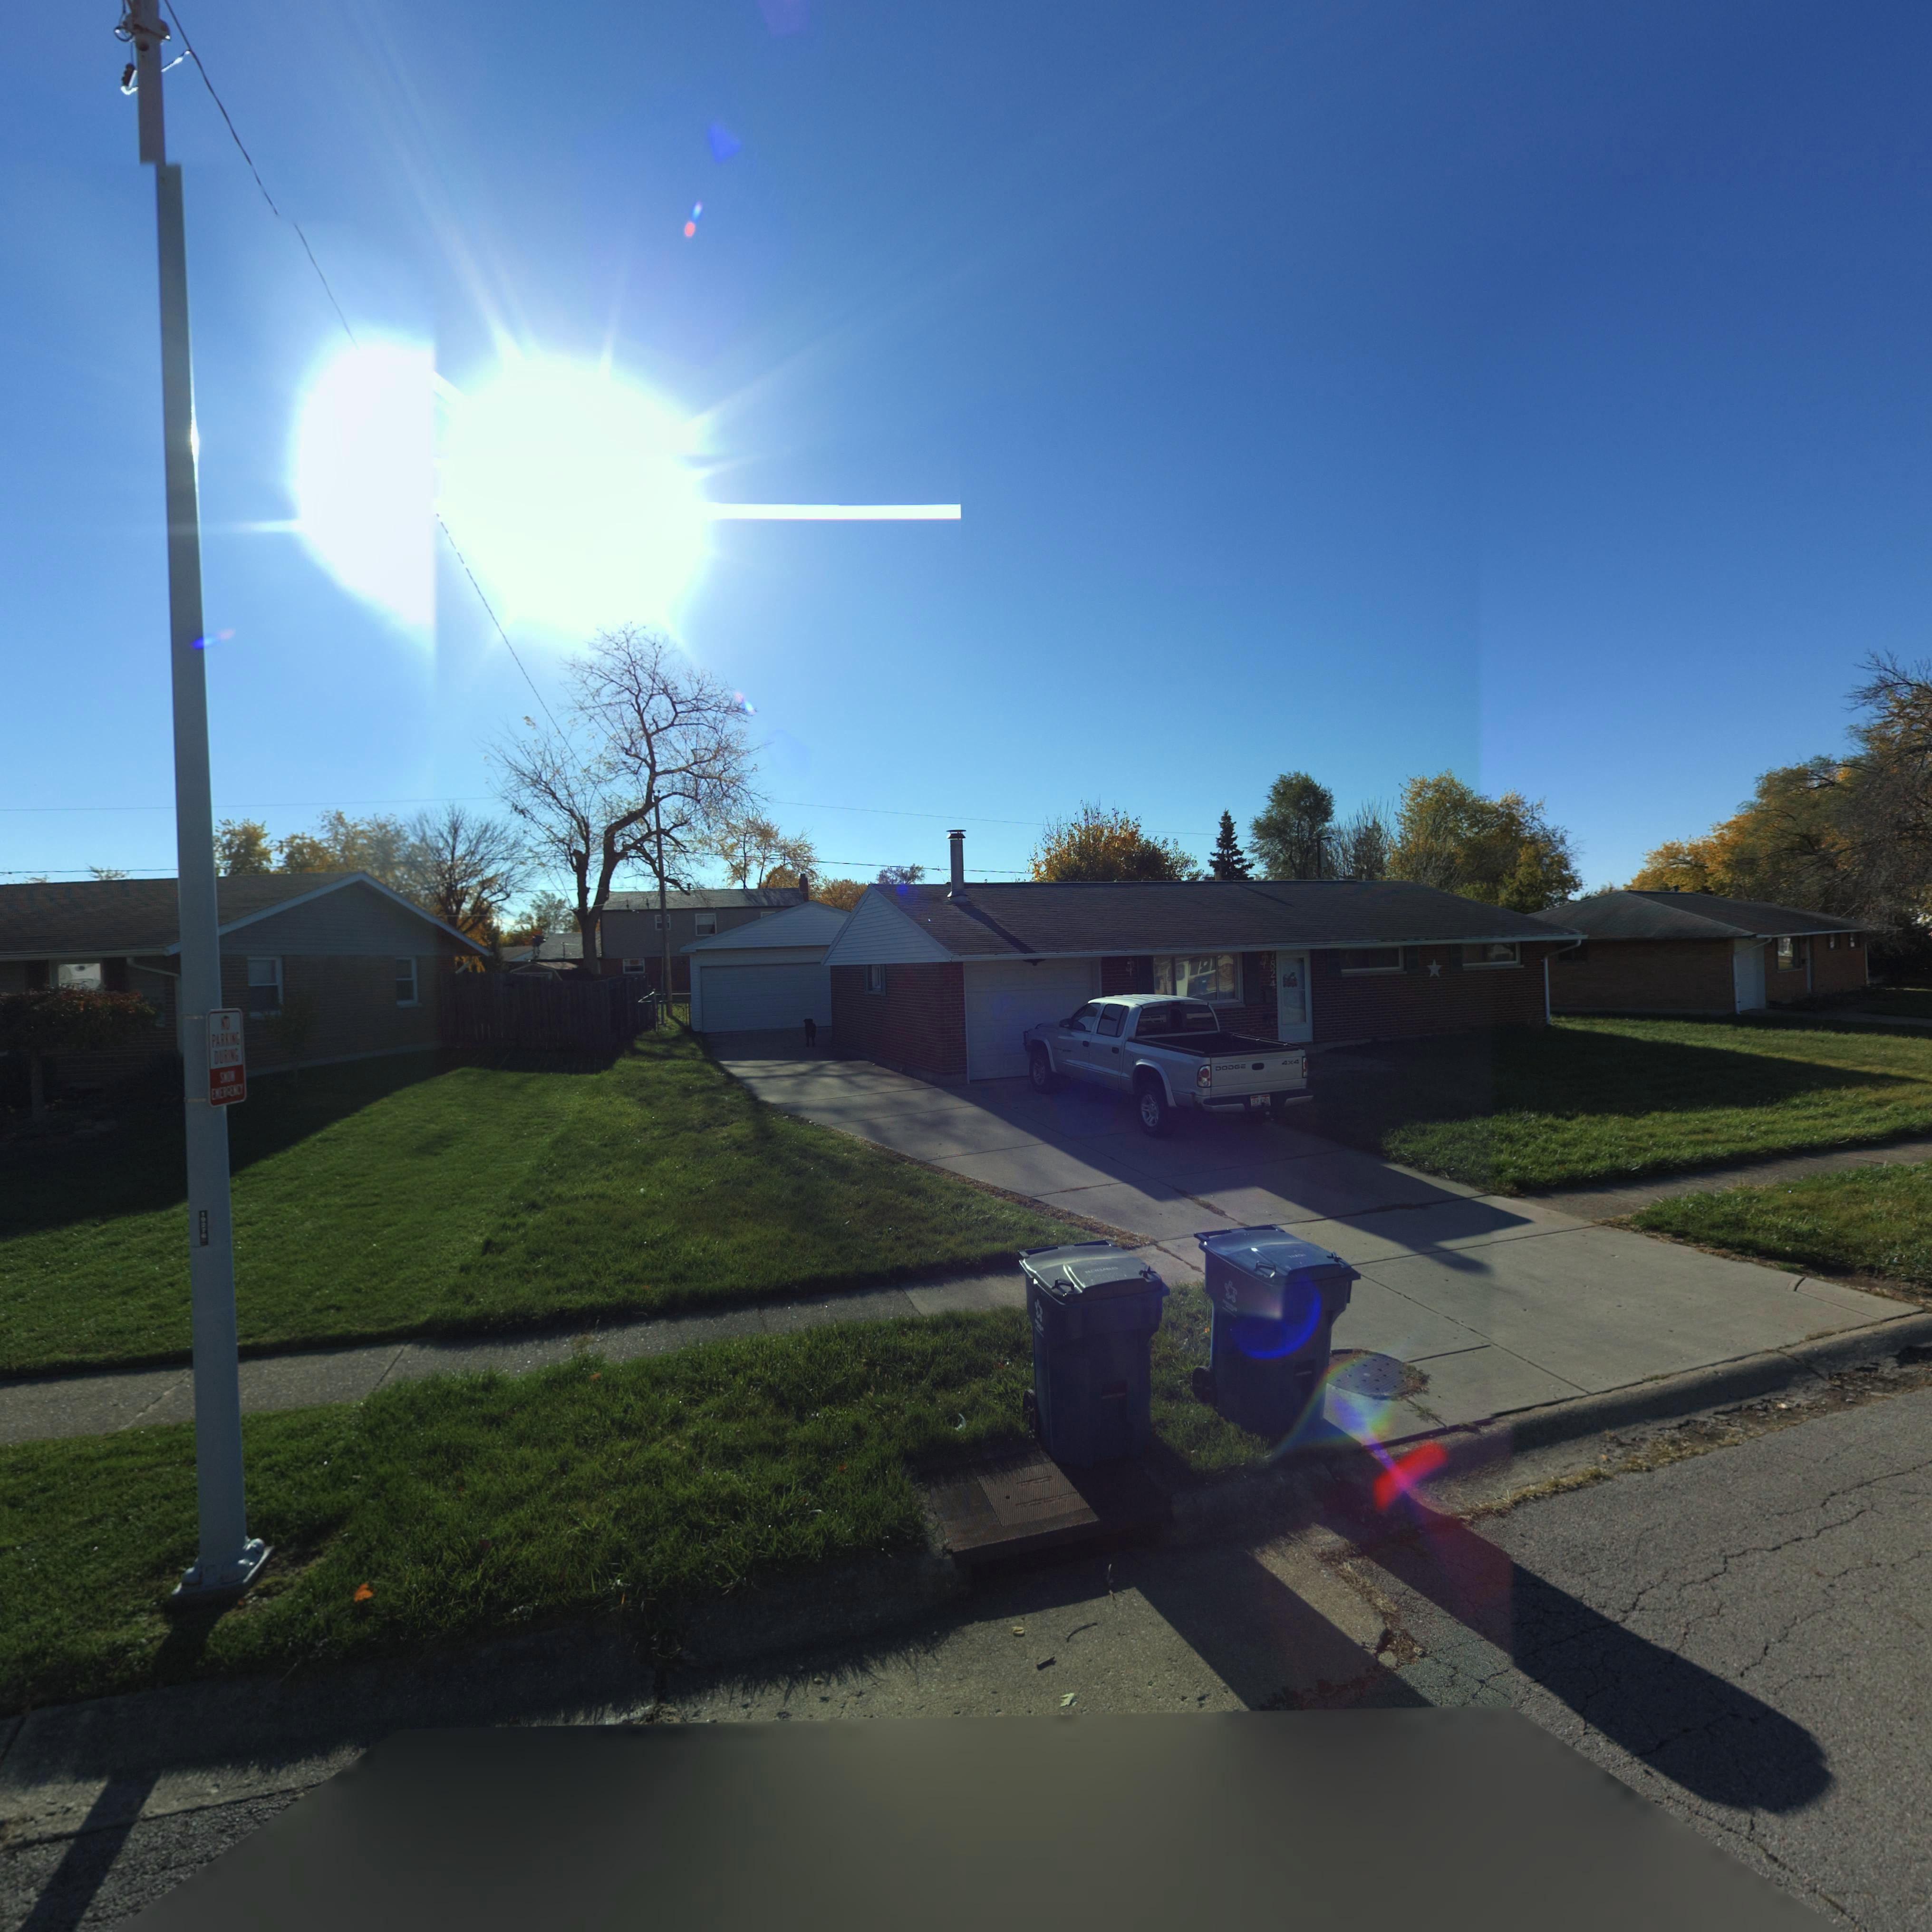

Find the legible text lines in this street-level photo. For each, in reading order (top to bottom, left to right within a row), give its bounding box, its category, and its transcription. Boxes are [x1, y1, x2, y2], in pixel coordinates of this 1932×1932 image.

[1268, 950, 1278, 990] StreetNumber: *824